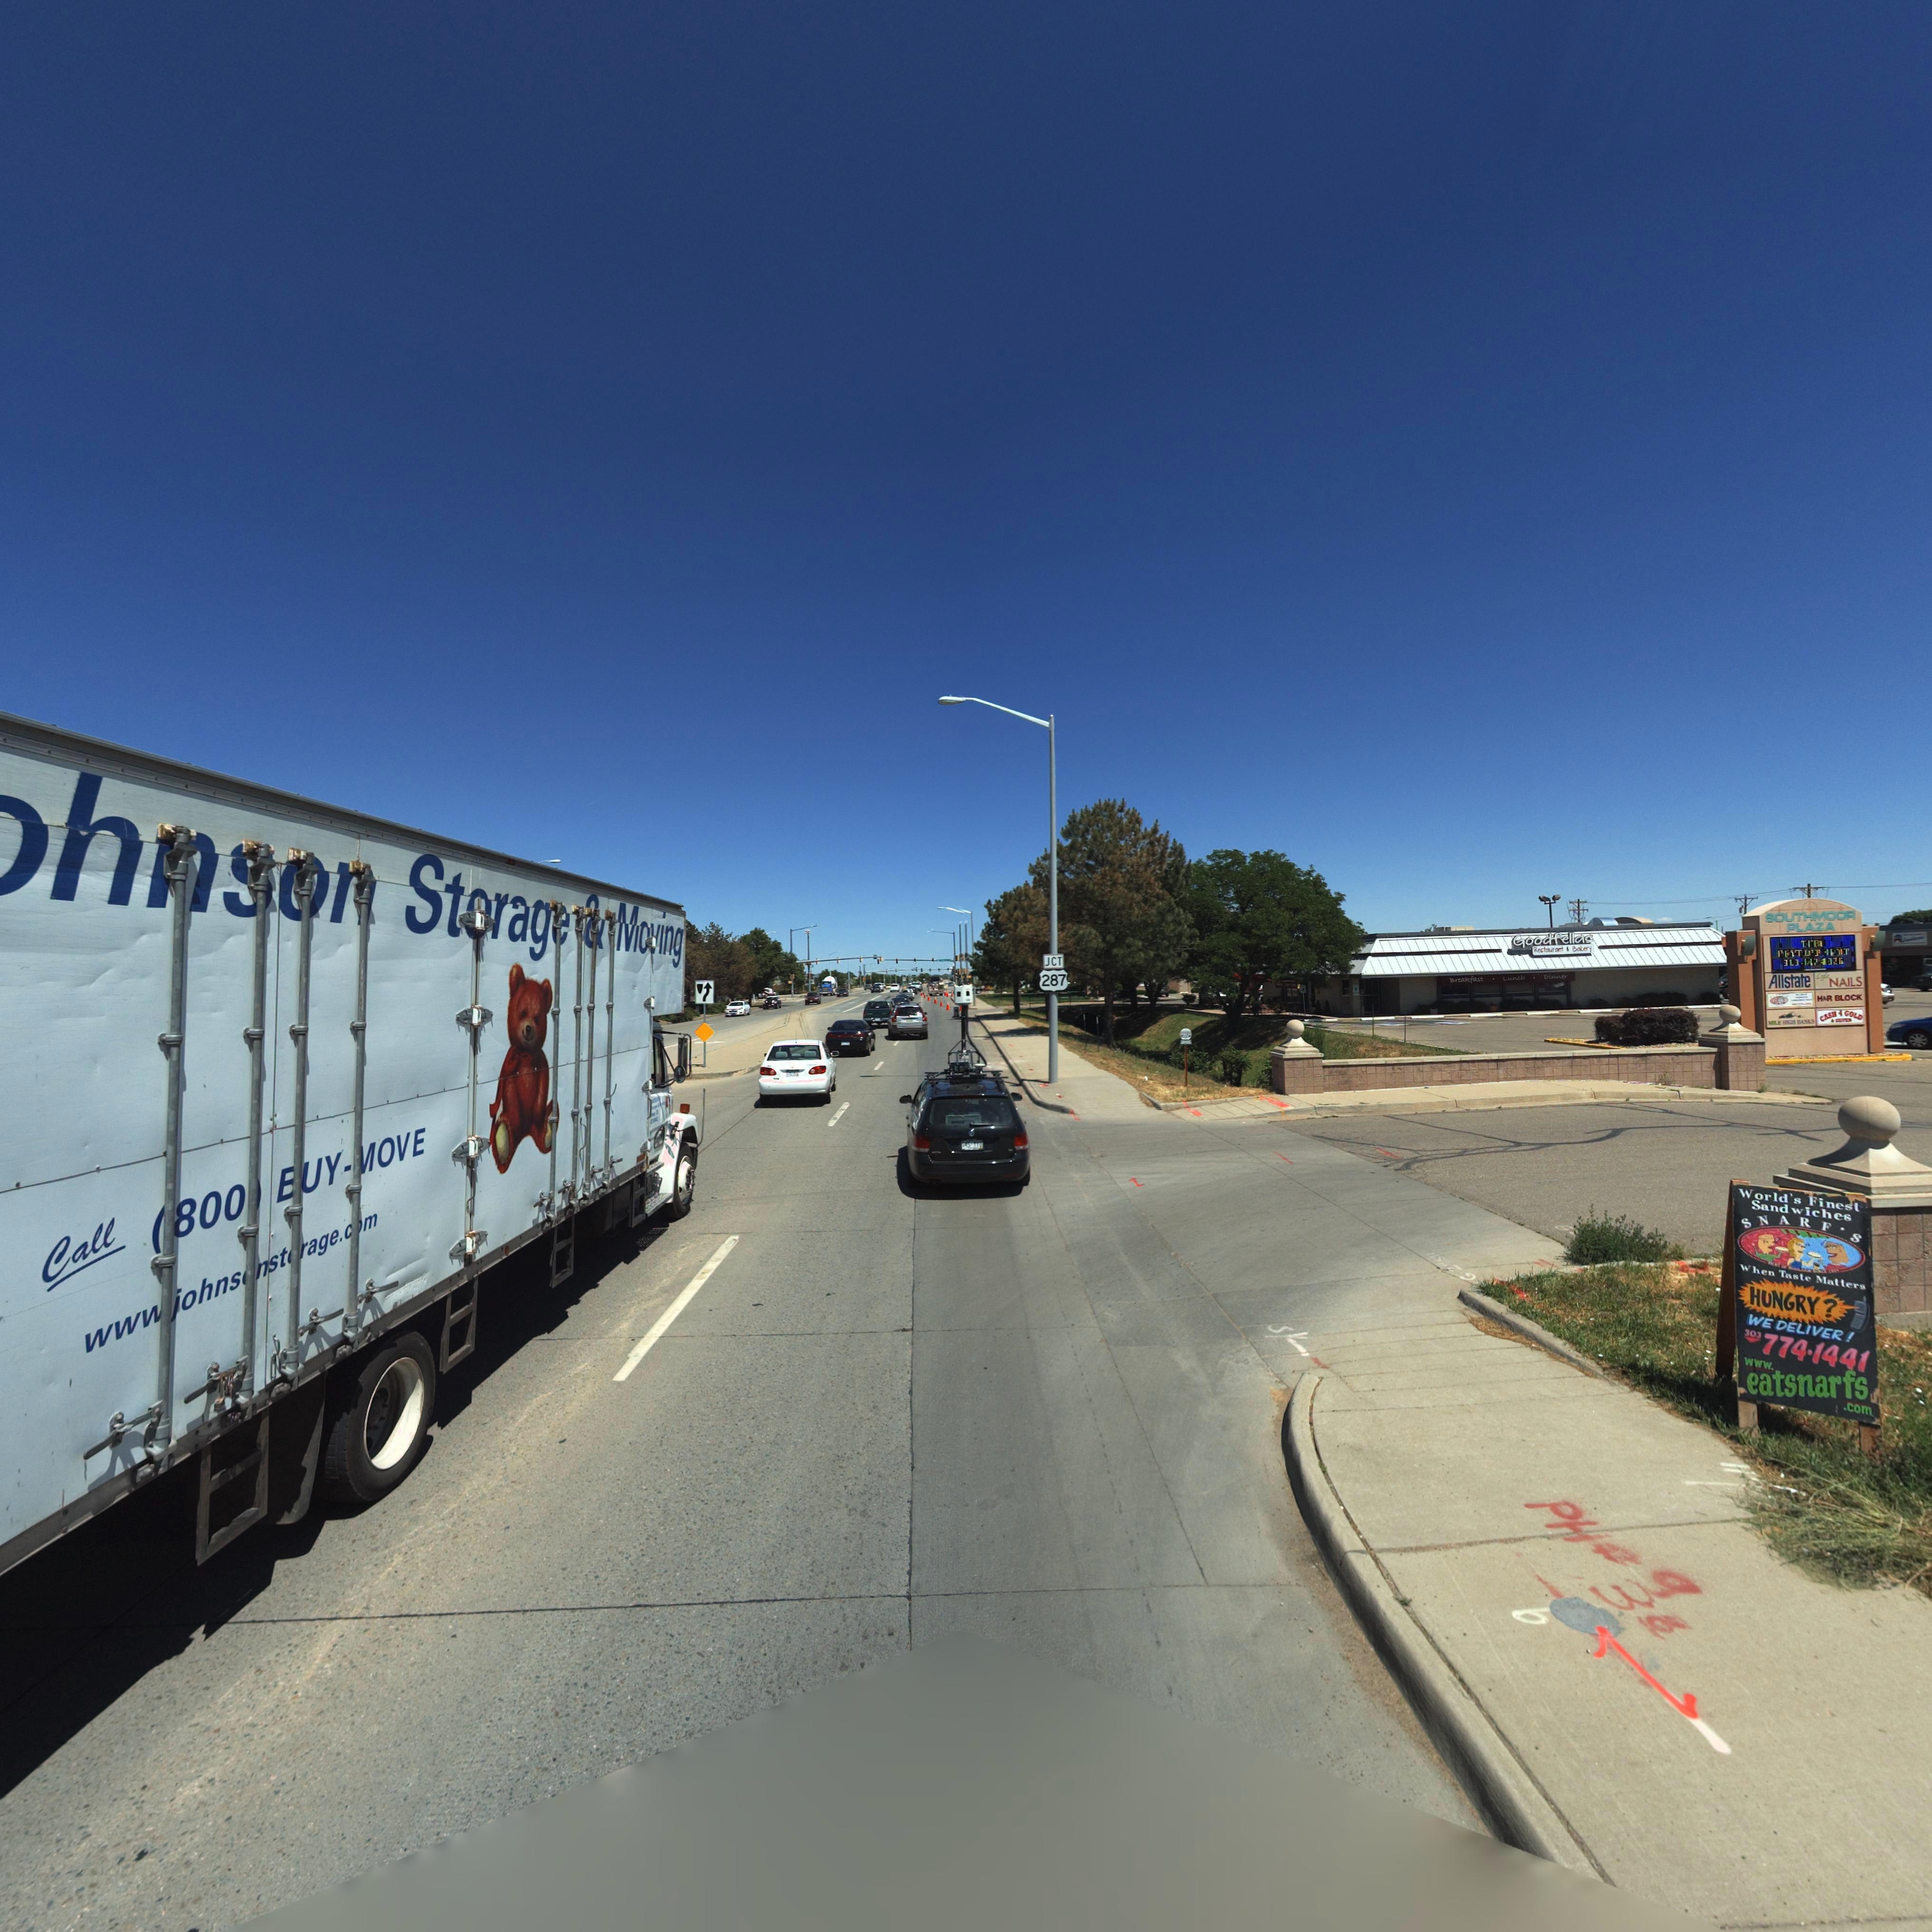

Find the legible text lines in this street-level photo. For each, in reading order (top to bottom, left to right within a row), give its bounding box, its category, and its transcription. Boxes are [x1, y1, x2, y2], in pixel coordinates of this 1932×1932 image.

[1765, 909, 1856, 922] BusinessName: SOUTHMOOR
[1787, 921, 1836, 933] BusinessName: PLAZA
[1511, 931, 1594, 949] BusinessName: Goodfellas
[1533, 945, 1592, 953] BusinessName: Re*ta*r*** * Bakery
[1768, 973, 1811, 989] BusinessName: Allstate
[1815, 973, 1830, 981] BusinessName: *yle
[1828, 976, 1863, 987] BusinessName: NAILS
[1816, 994, 1863, 1002] BusinessName: H&R BLOCK
[1818, 1009, 1864, 1023] BusinessName: CASH 4 GOLD
[1768, 1018, 1815, 1025] BusinessName: ***E ***H BANKS
[1740, 1214, 1863, 1243] BusinessName: SNARF'S